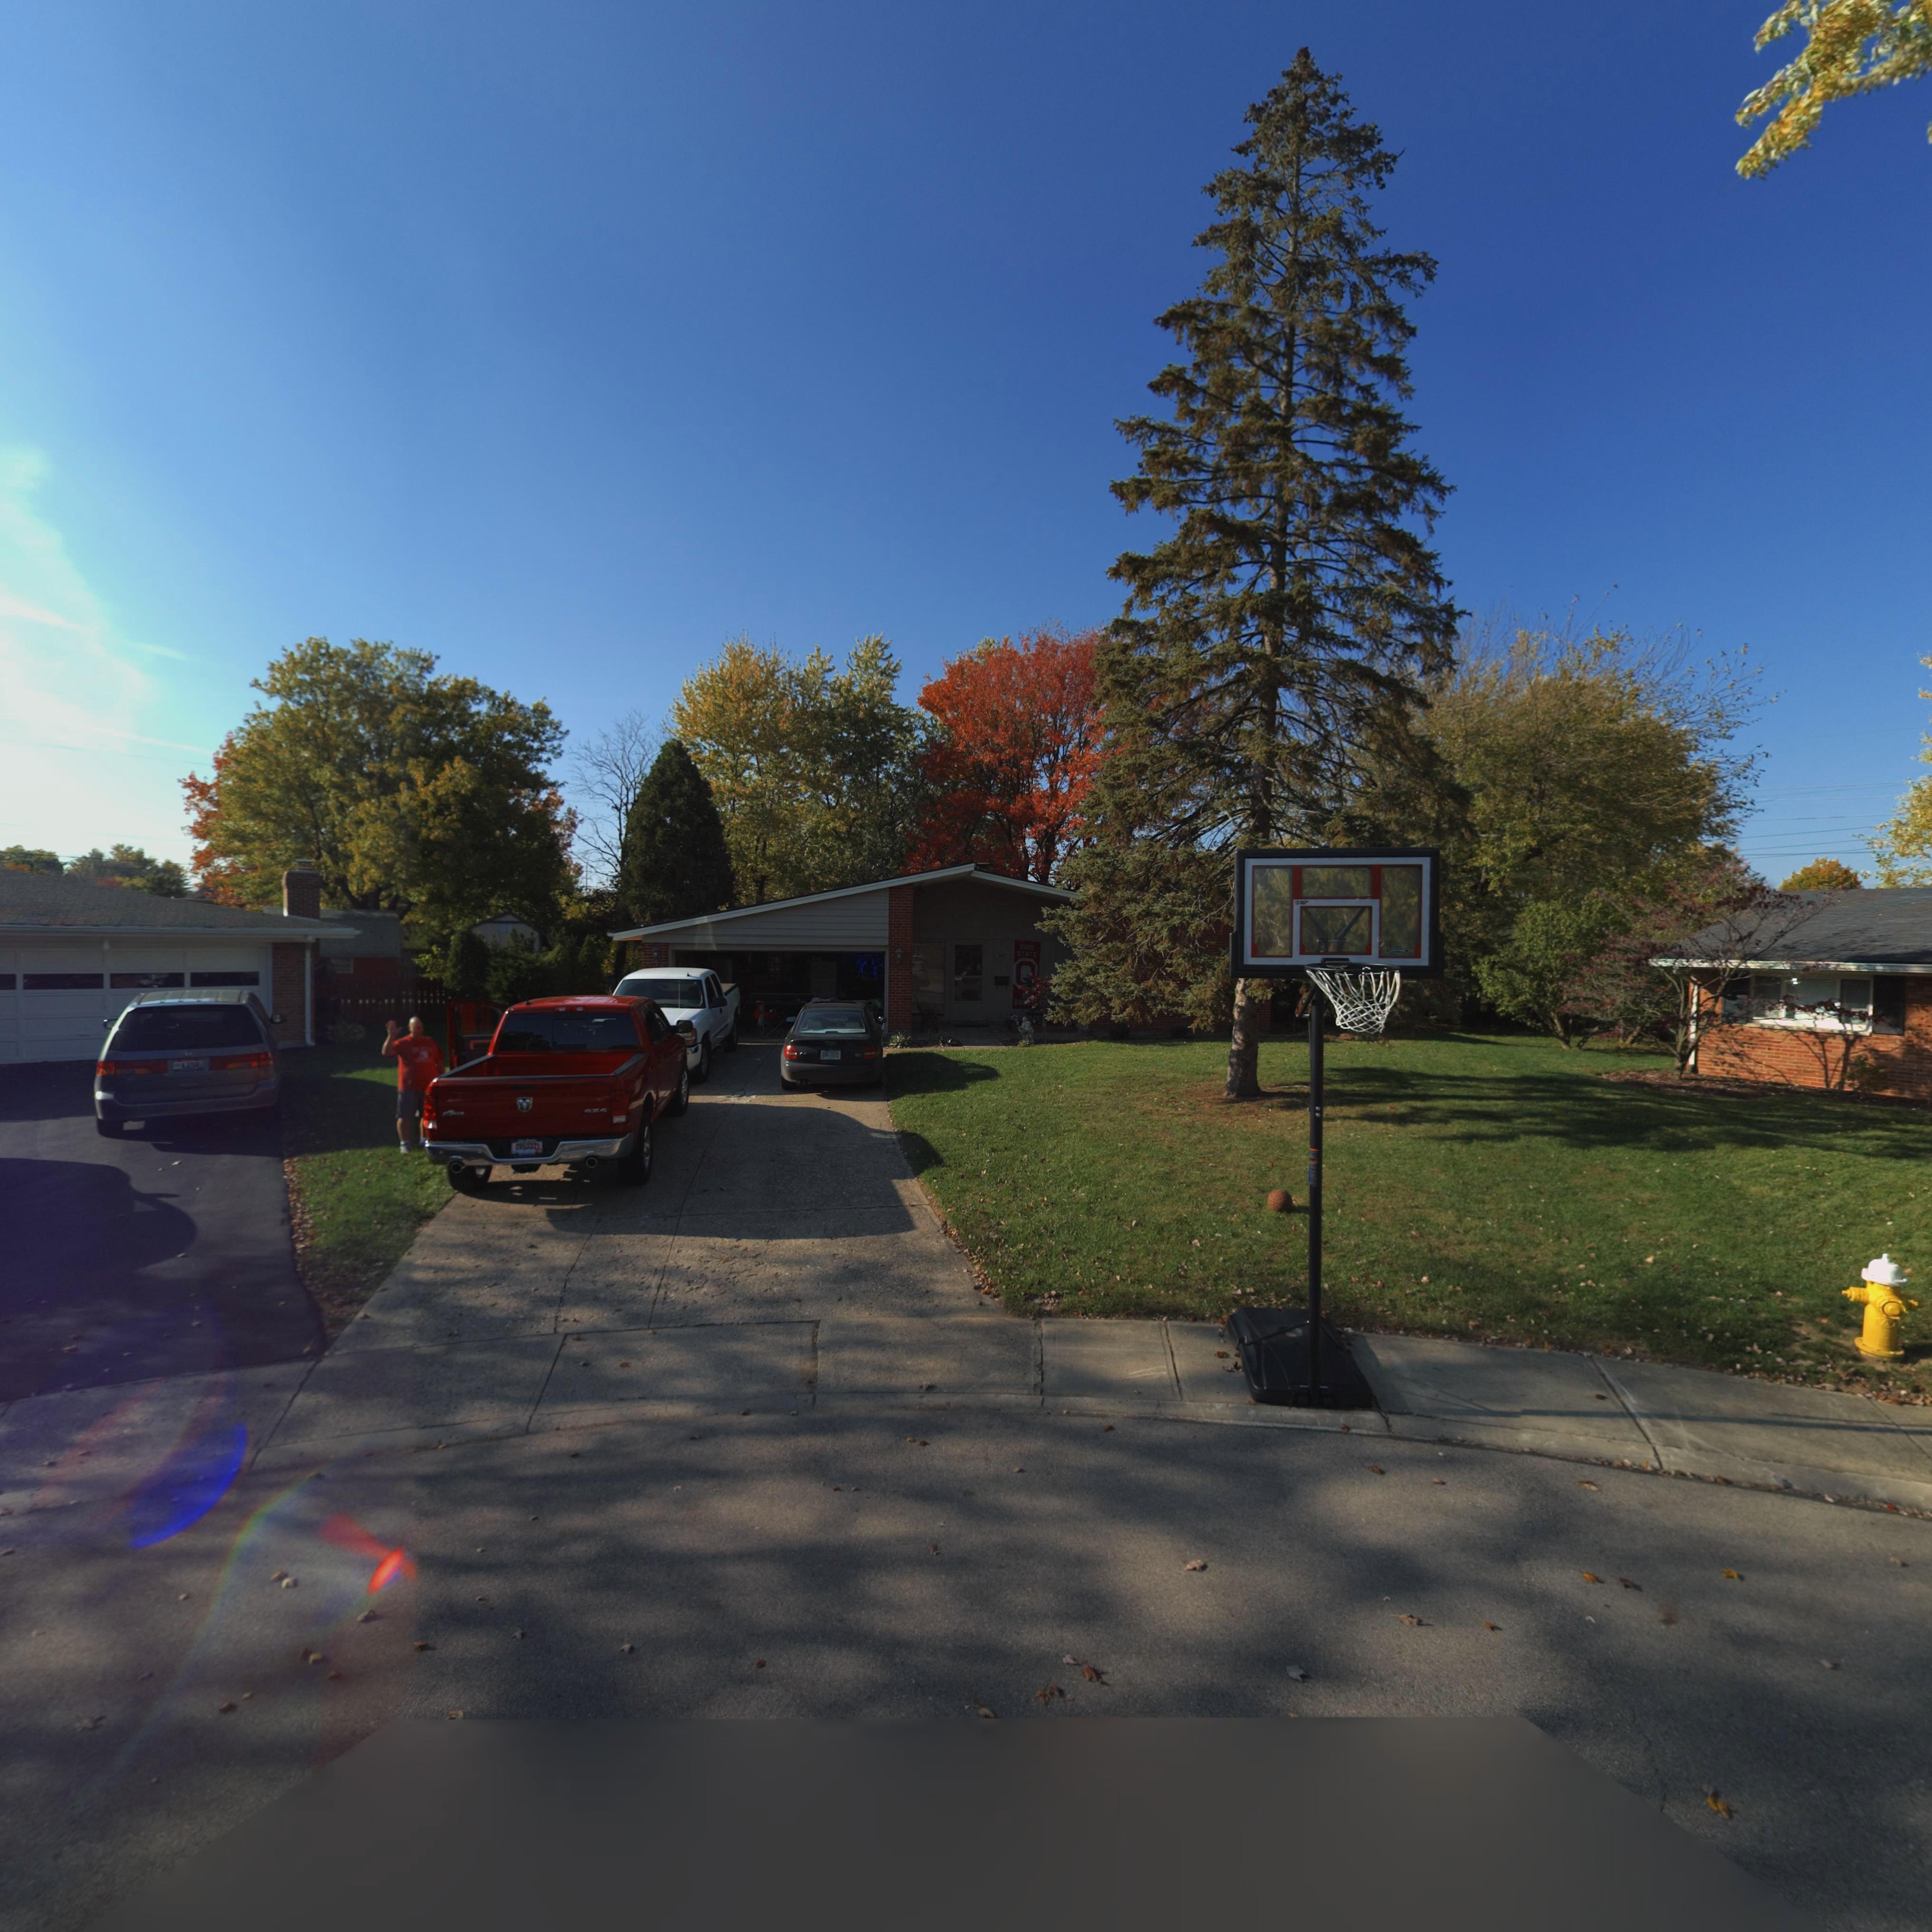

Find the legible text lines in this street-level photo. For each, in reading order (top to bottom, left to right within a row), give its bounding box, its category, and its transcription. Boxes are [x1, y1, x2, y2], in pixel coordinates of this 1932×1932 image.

[997, 954, 1008, 959] StreetNumber: 3005